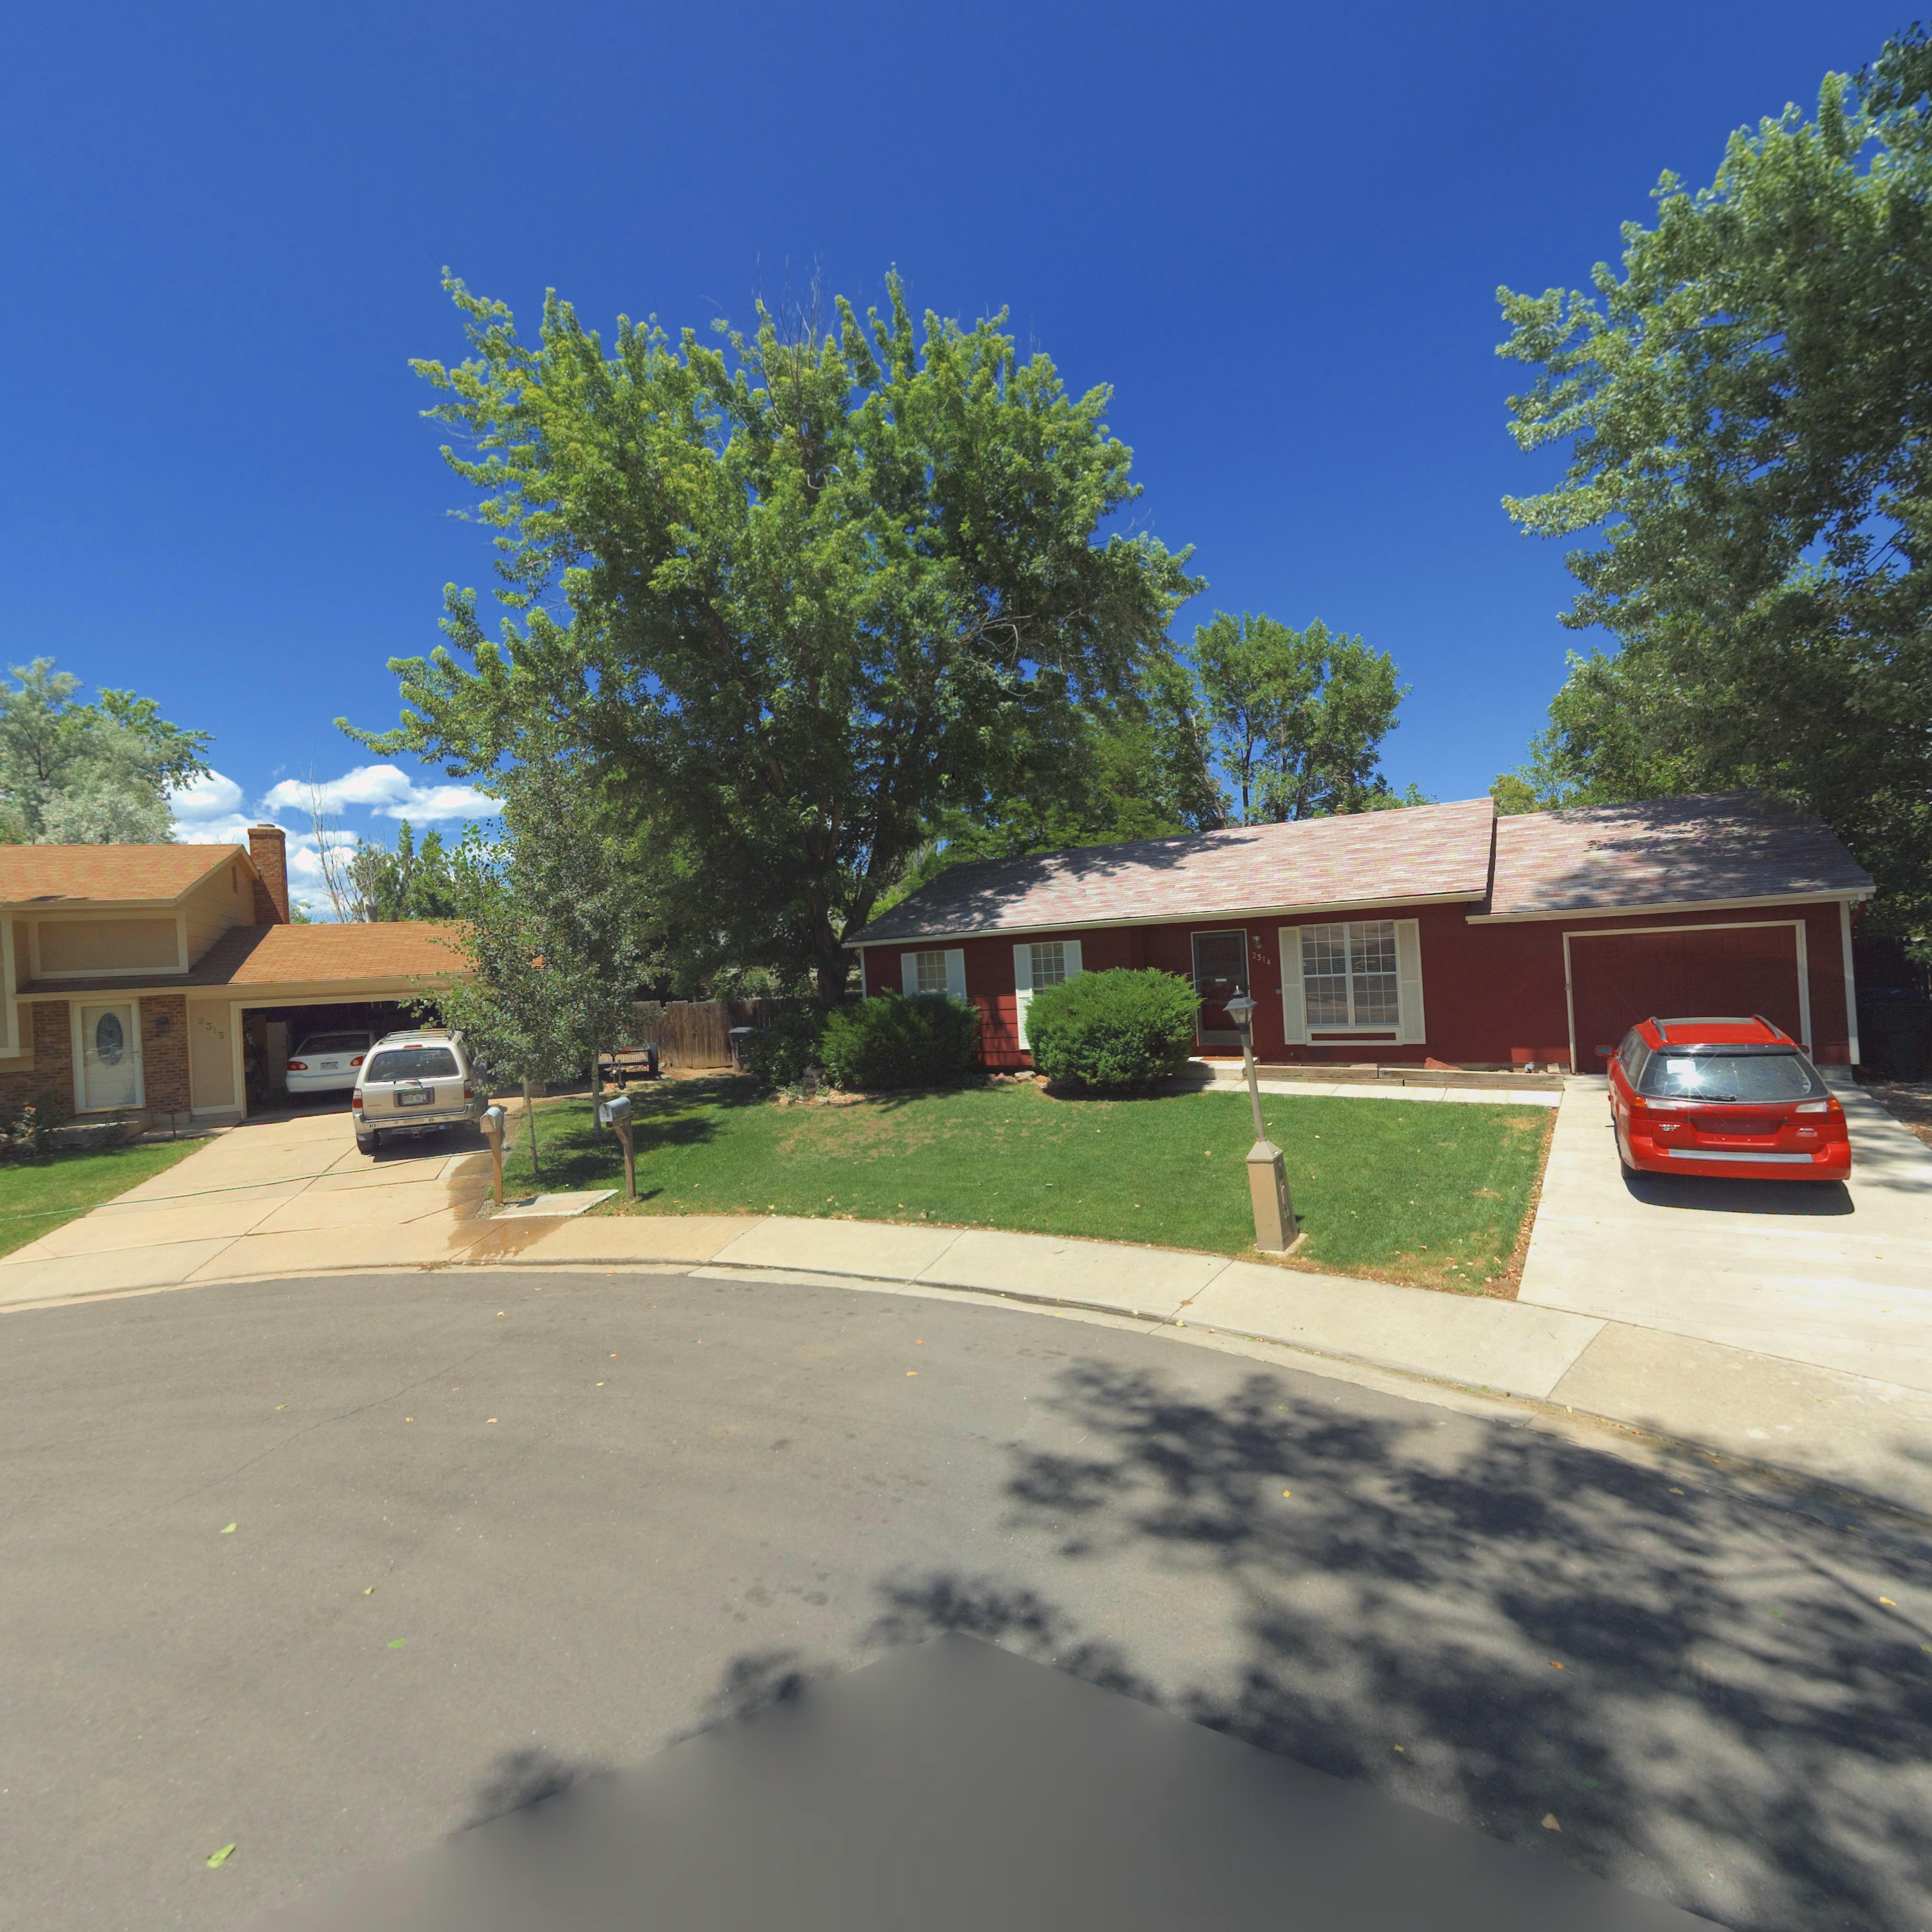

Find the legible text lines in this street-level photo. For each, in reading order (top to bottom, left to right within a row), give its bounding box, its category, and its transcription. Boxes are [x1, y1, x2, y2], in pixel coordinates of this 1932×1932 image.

[1251, 952, 1271, 966] StreetNumber: 2314
[197, 1016, 224, 1039] StreetNumber: 2315